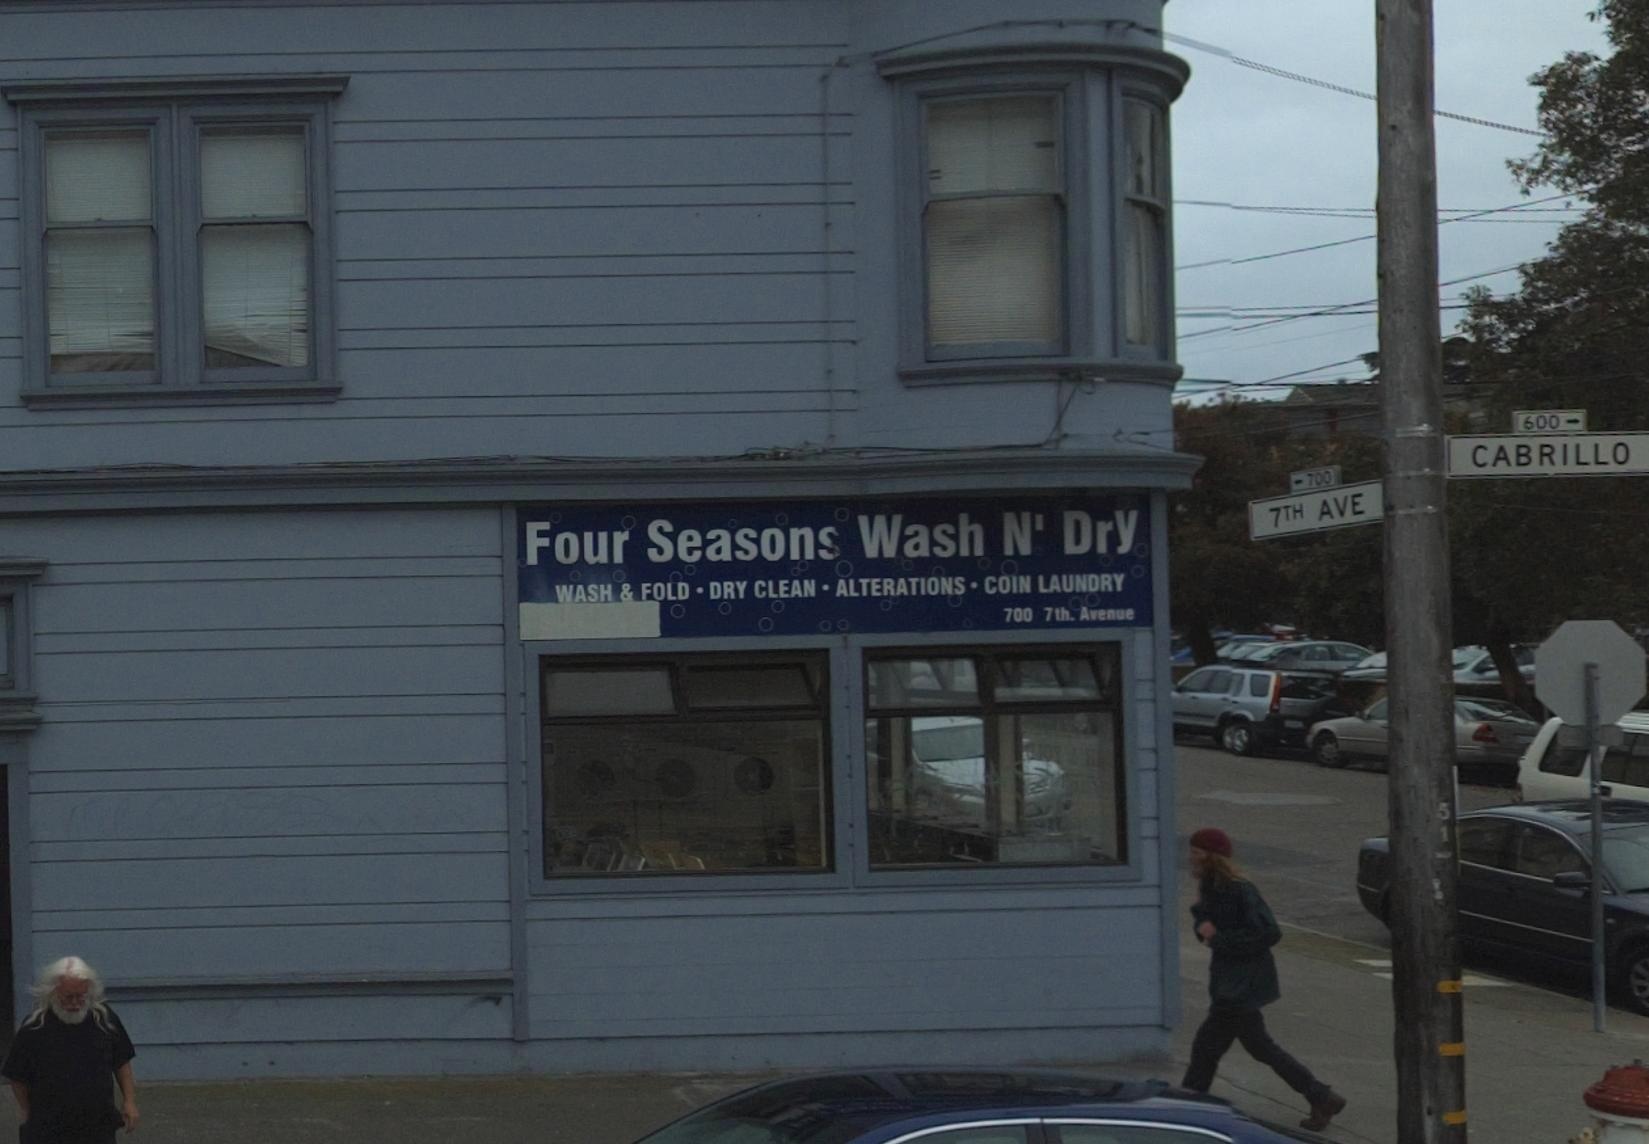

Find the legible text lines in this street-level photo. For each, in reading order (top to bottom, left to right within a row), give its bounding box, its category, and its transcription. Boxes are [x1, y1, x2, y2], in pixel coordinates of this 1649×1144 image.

[1519, 412, 1582, 433] StreetNumberRange: 600->
[1469, 438, 1633, 471] StreetName: CABRILLO
[1291, 468, 1335, 490] StreetNumberRange: <-700
[1265, 489, 1369, 531] StreetName: 7TH AVE
[521, 505, 1145, 571] BusinessName: Four Seasons Wash N' Dry
[550, 569, 1129, 607] None: WASH & FOLD*DRY CLEAN*ALTERATIONS*COIN LAUNDRY
[1000, 604, 1036, 625] StreetNumber: 700
[1042, 604, 1137, 624] StreetName: 7th. Avenue
[1436, 800, 1453, 844] None: 51